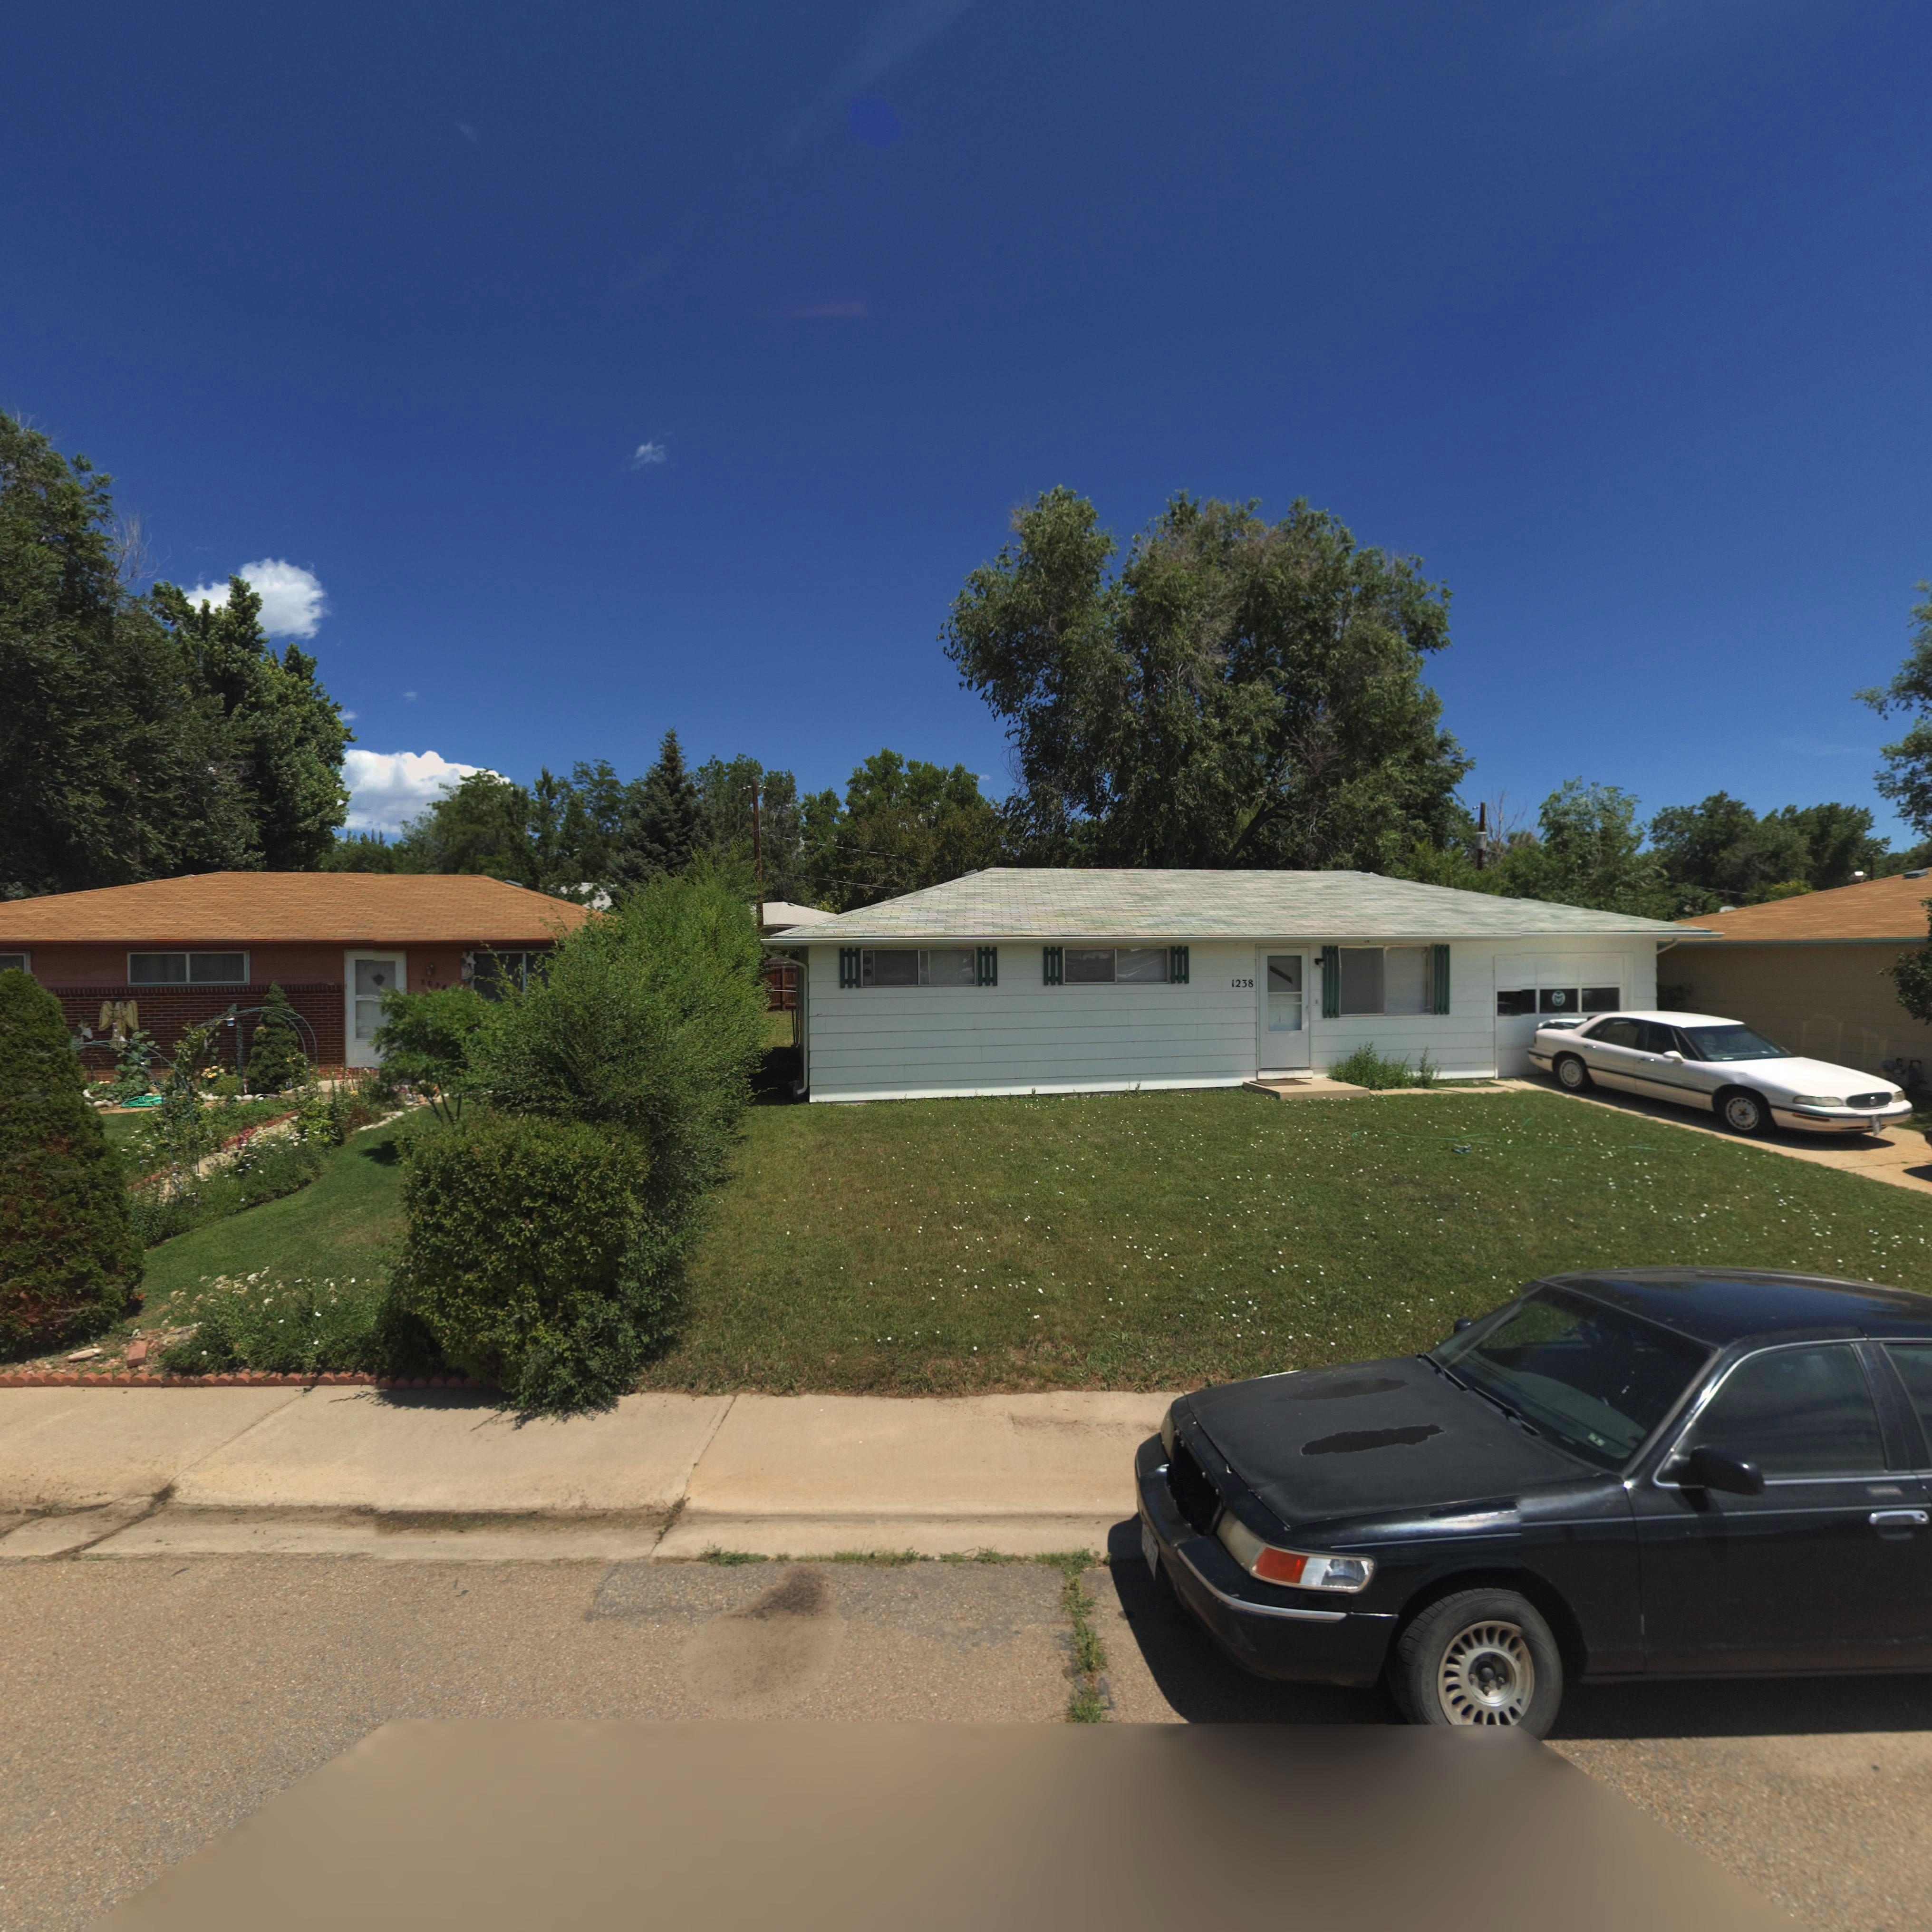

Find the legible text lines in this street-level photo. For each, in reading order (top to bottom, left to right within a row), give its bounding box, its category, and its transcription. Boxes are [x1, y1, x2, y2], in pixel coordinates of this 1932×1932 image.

[421, 978, 449, 991] StreetNumber: 1232
[1231, 978, 1253, 988] StreetNumber: 1238